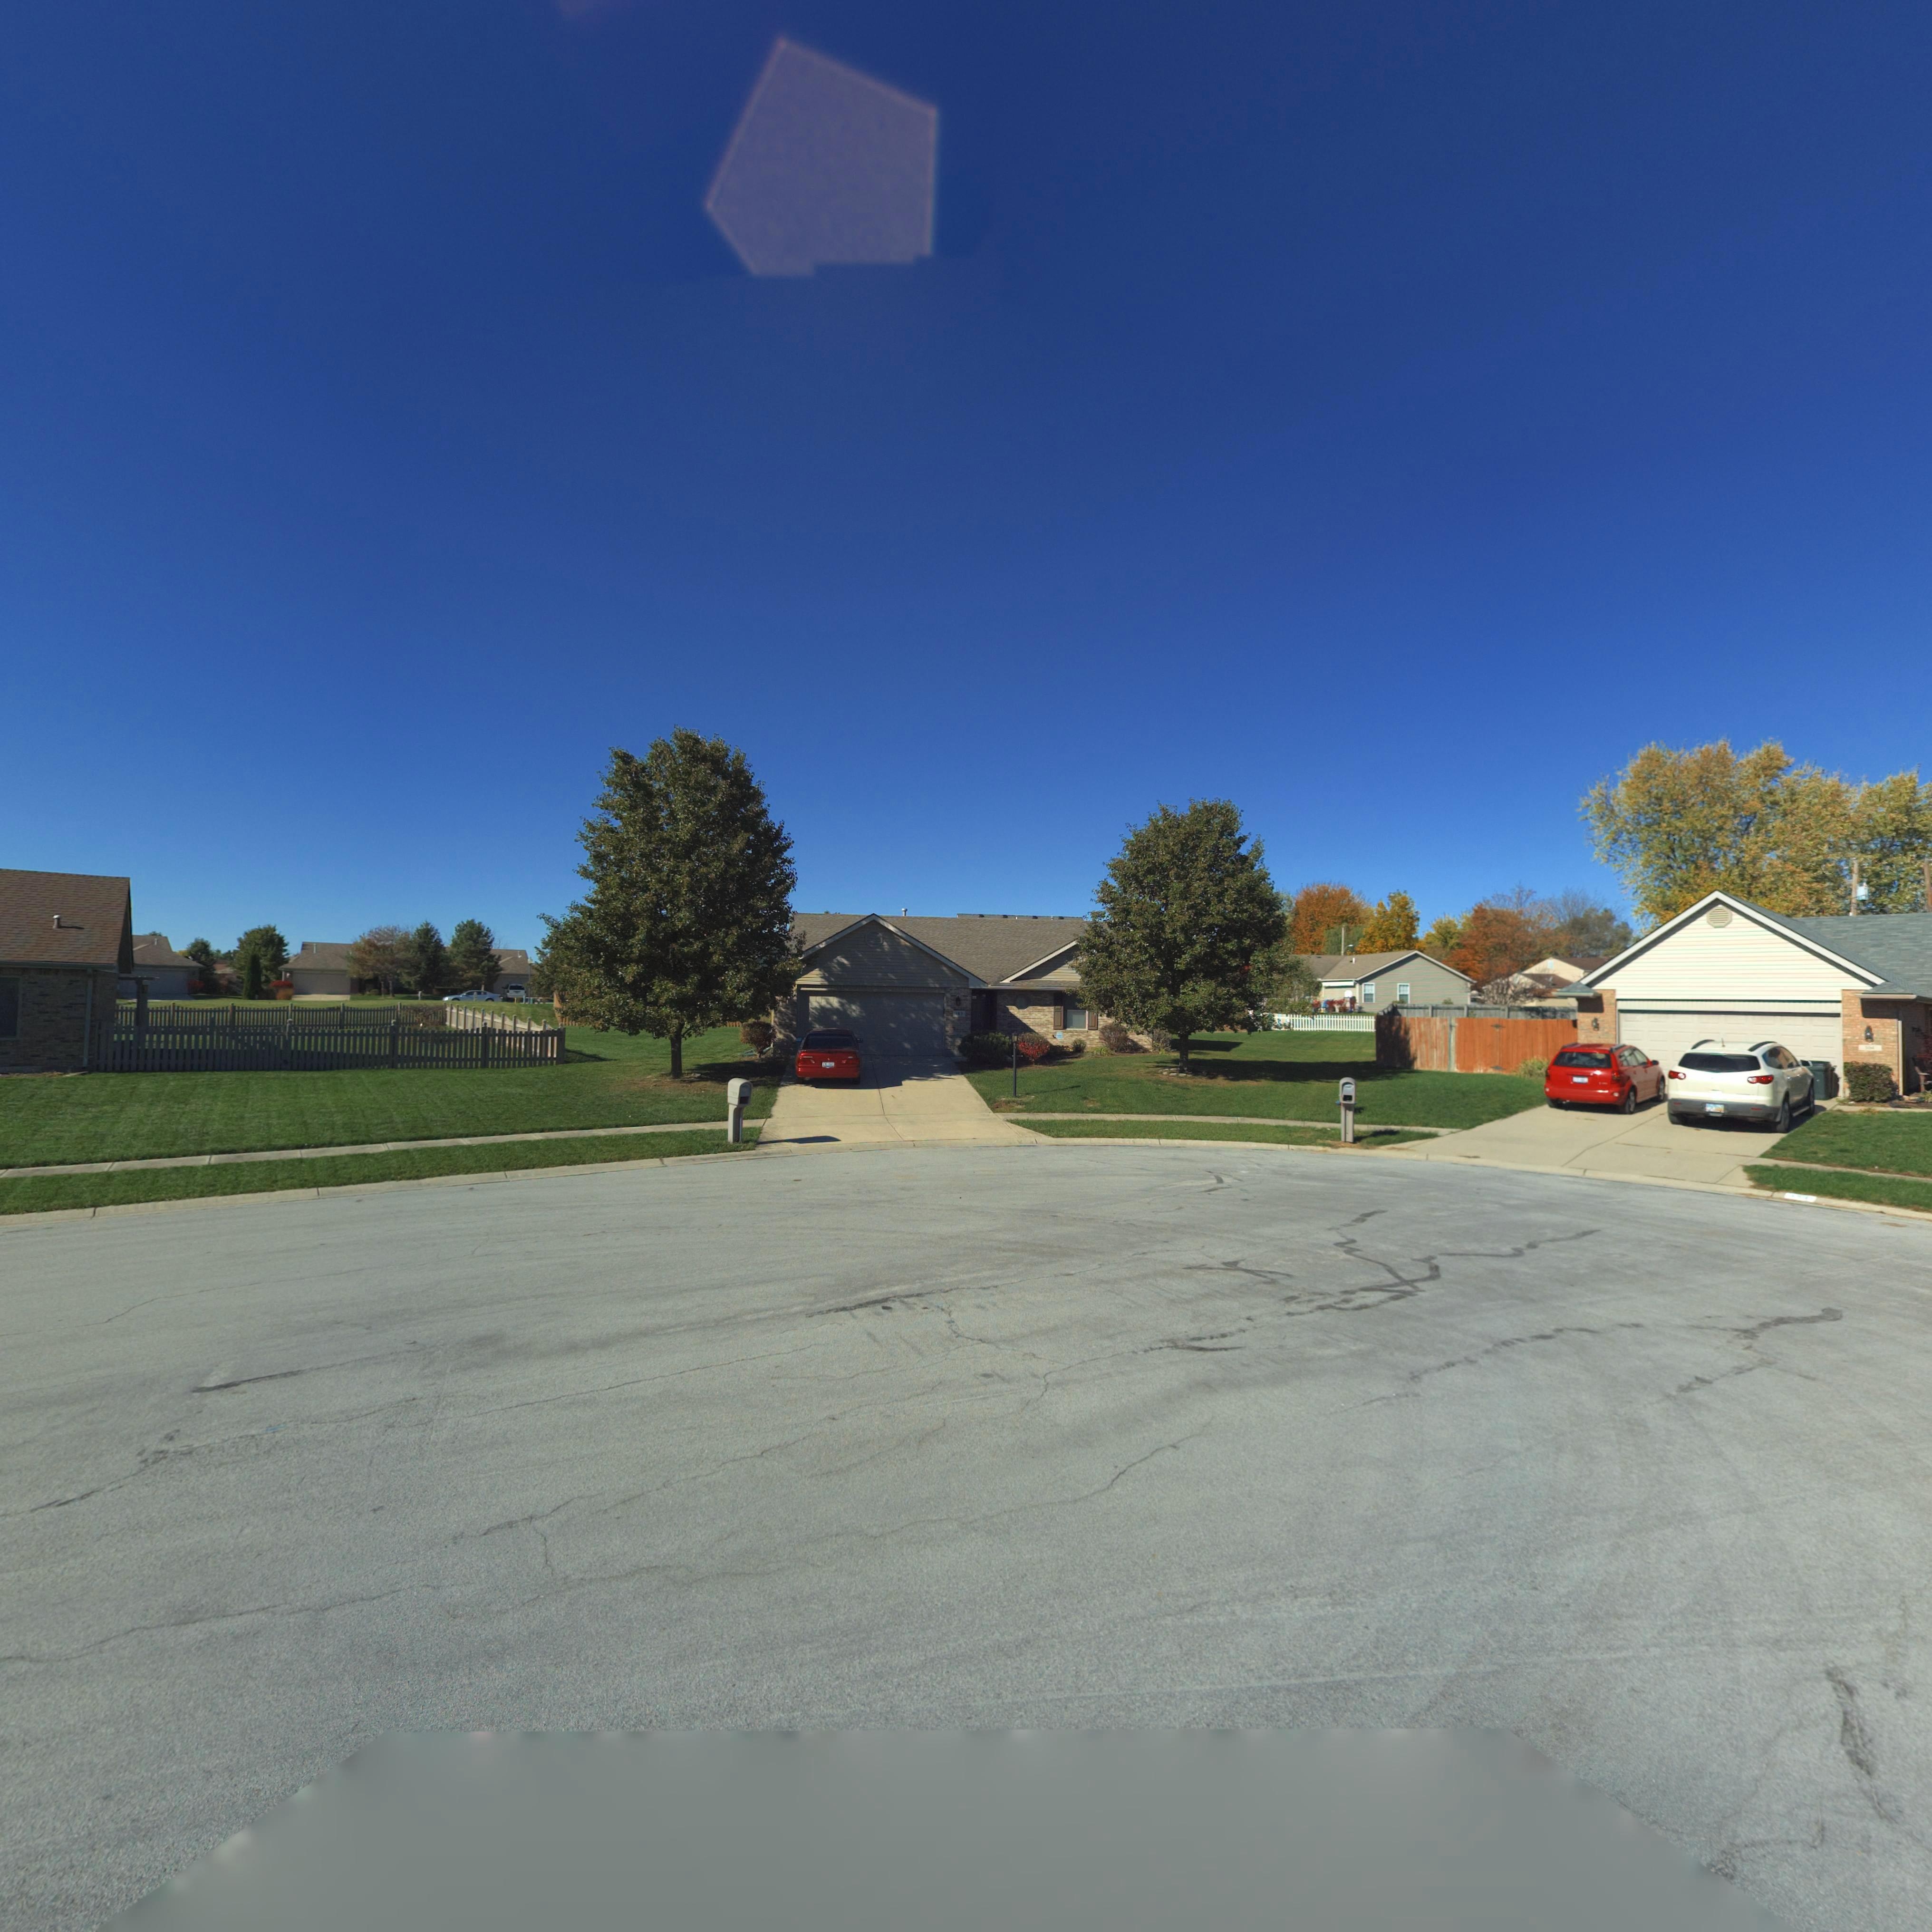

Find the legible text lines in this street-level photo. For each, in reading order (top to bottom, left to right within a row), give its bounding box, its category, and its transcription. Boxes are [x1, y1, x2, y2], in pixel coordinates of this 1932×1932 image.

[955, 1011, 963, 1015] StreetNumber: 103